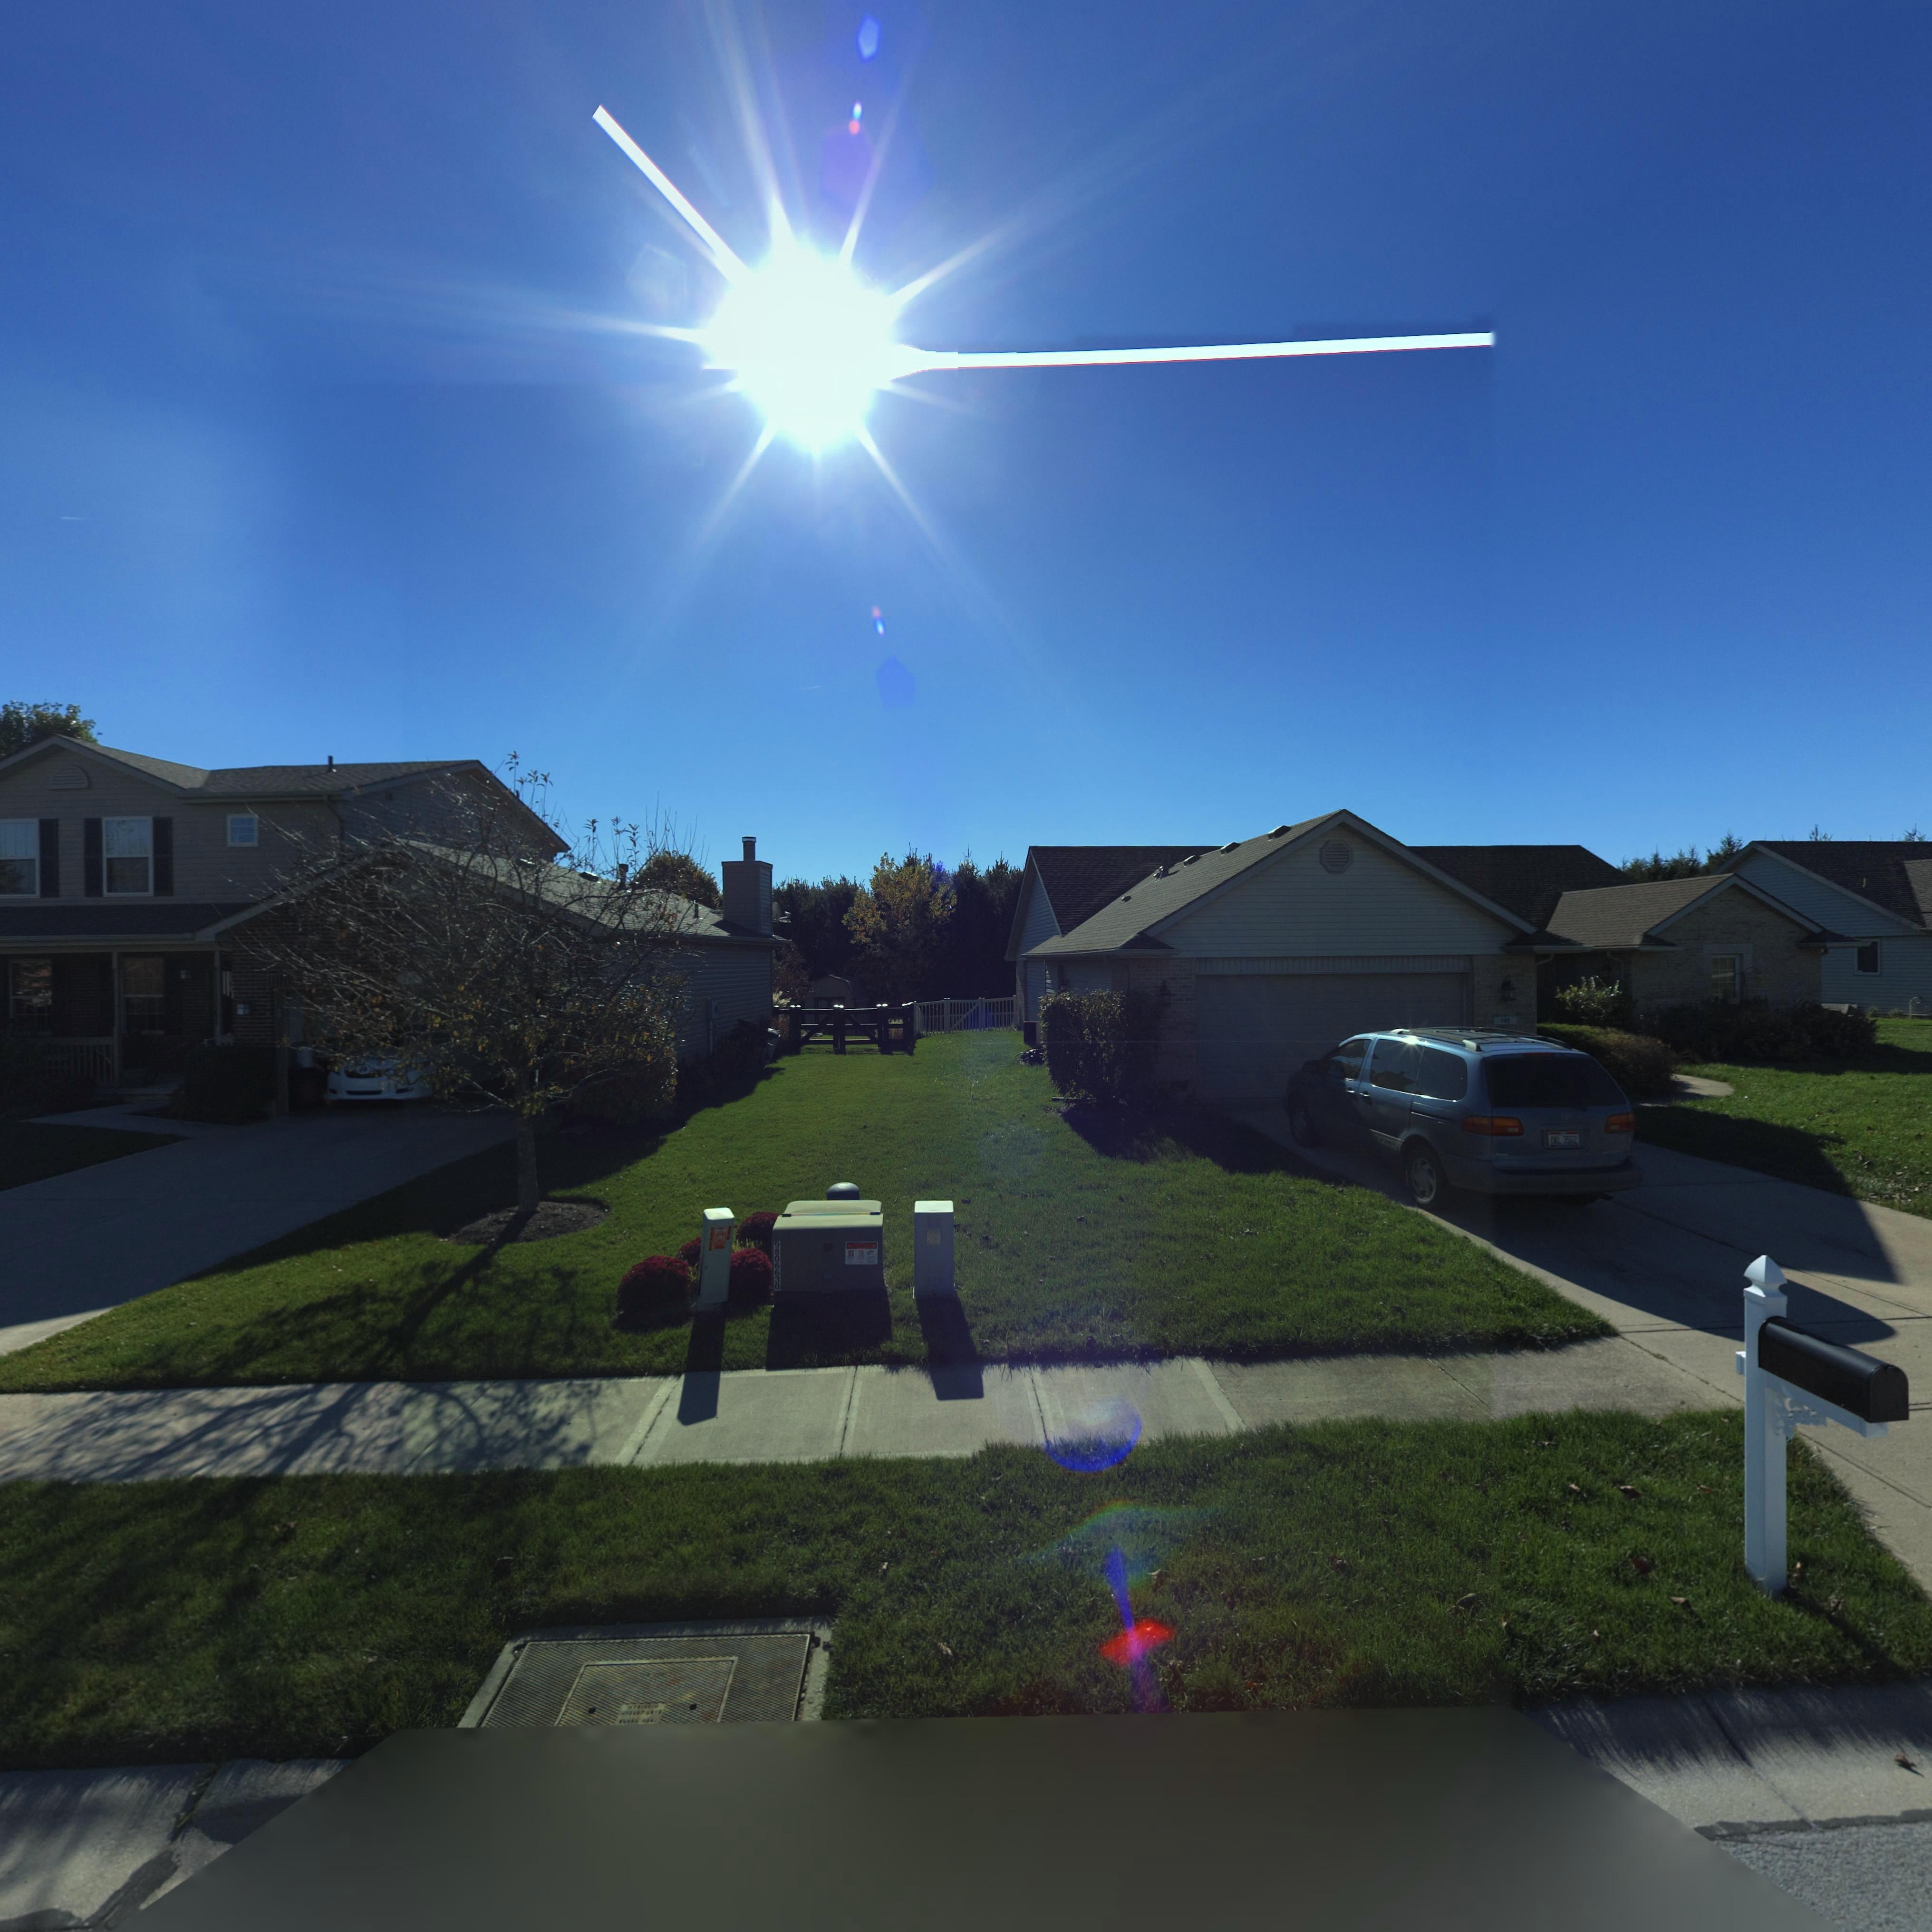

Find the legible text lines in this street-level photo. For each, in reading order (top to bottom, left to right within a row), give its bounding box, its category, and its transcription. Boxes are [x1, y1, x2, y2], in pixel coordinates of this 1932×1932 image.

[1500, 1018, 1510, 1024] StreetNumber: 145
[1549, 1134, 1579, 1145] None: *** 3562